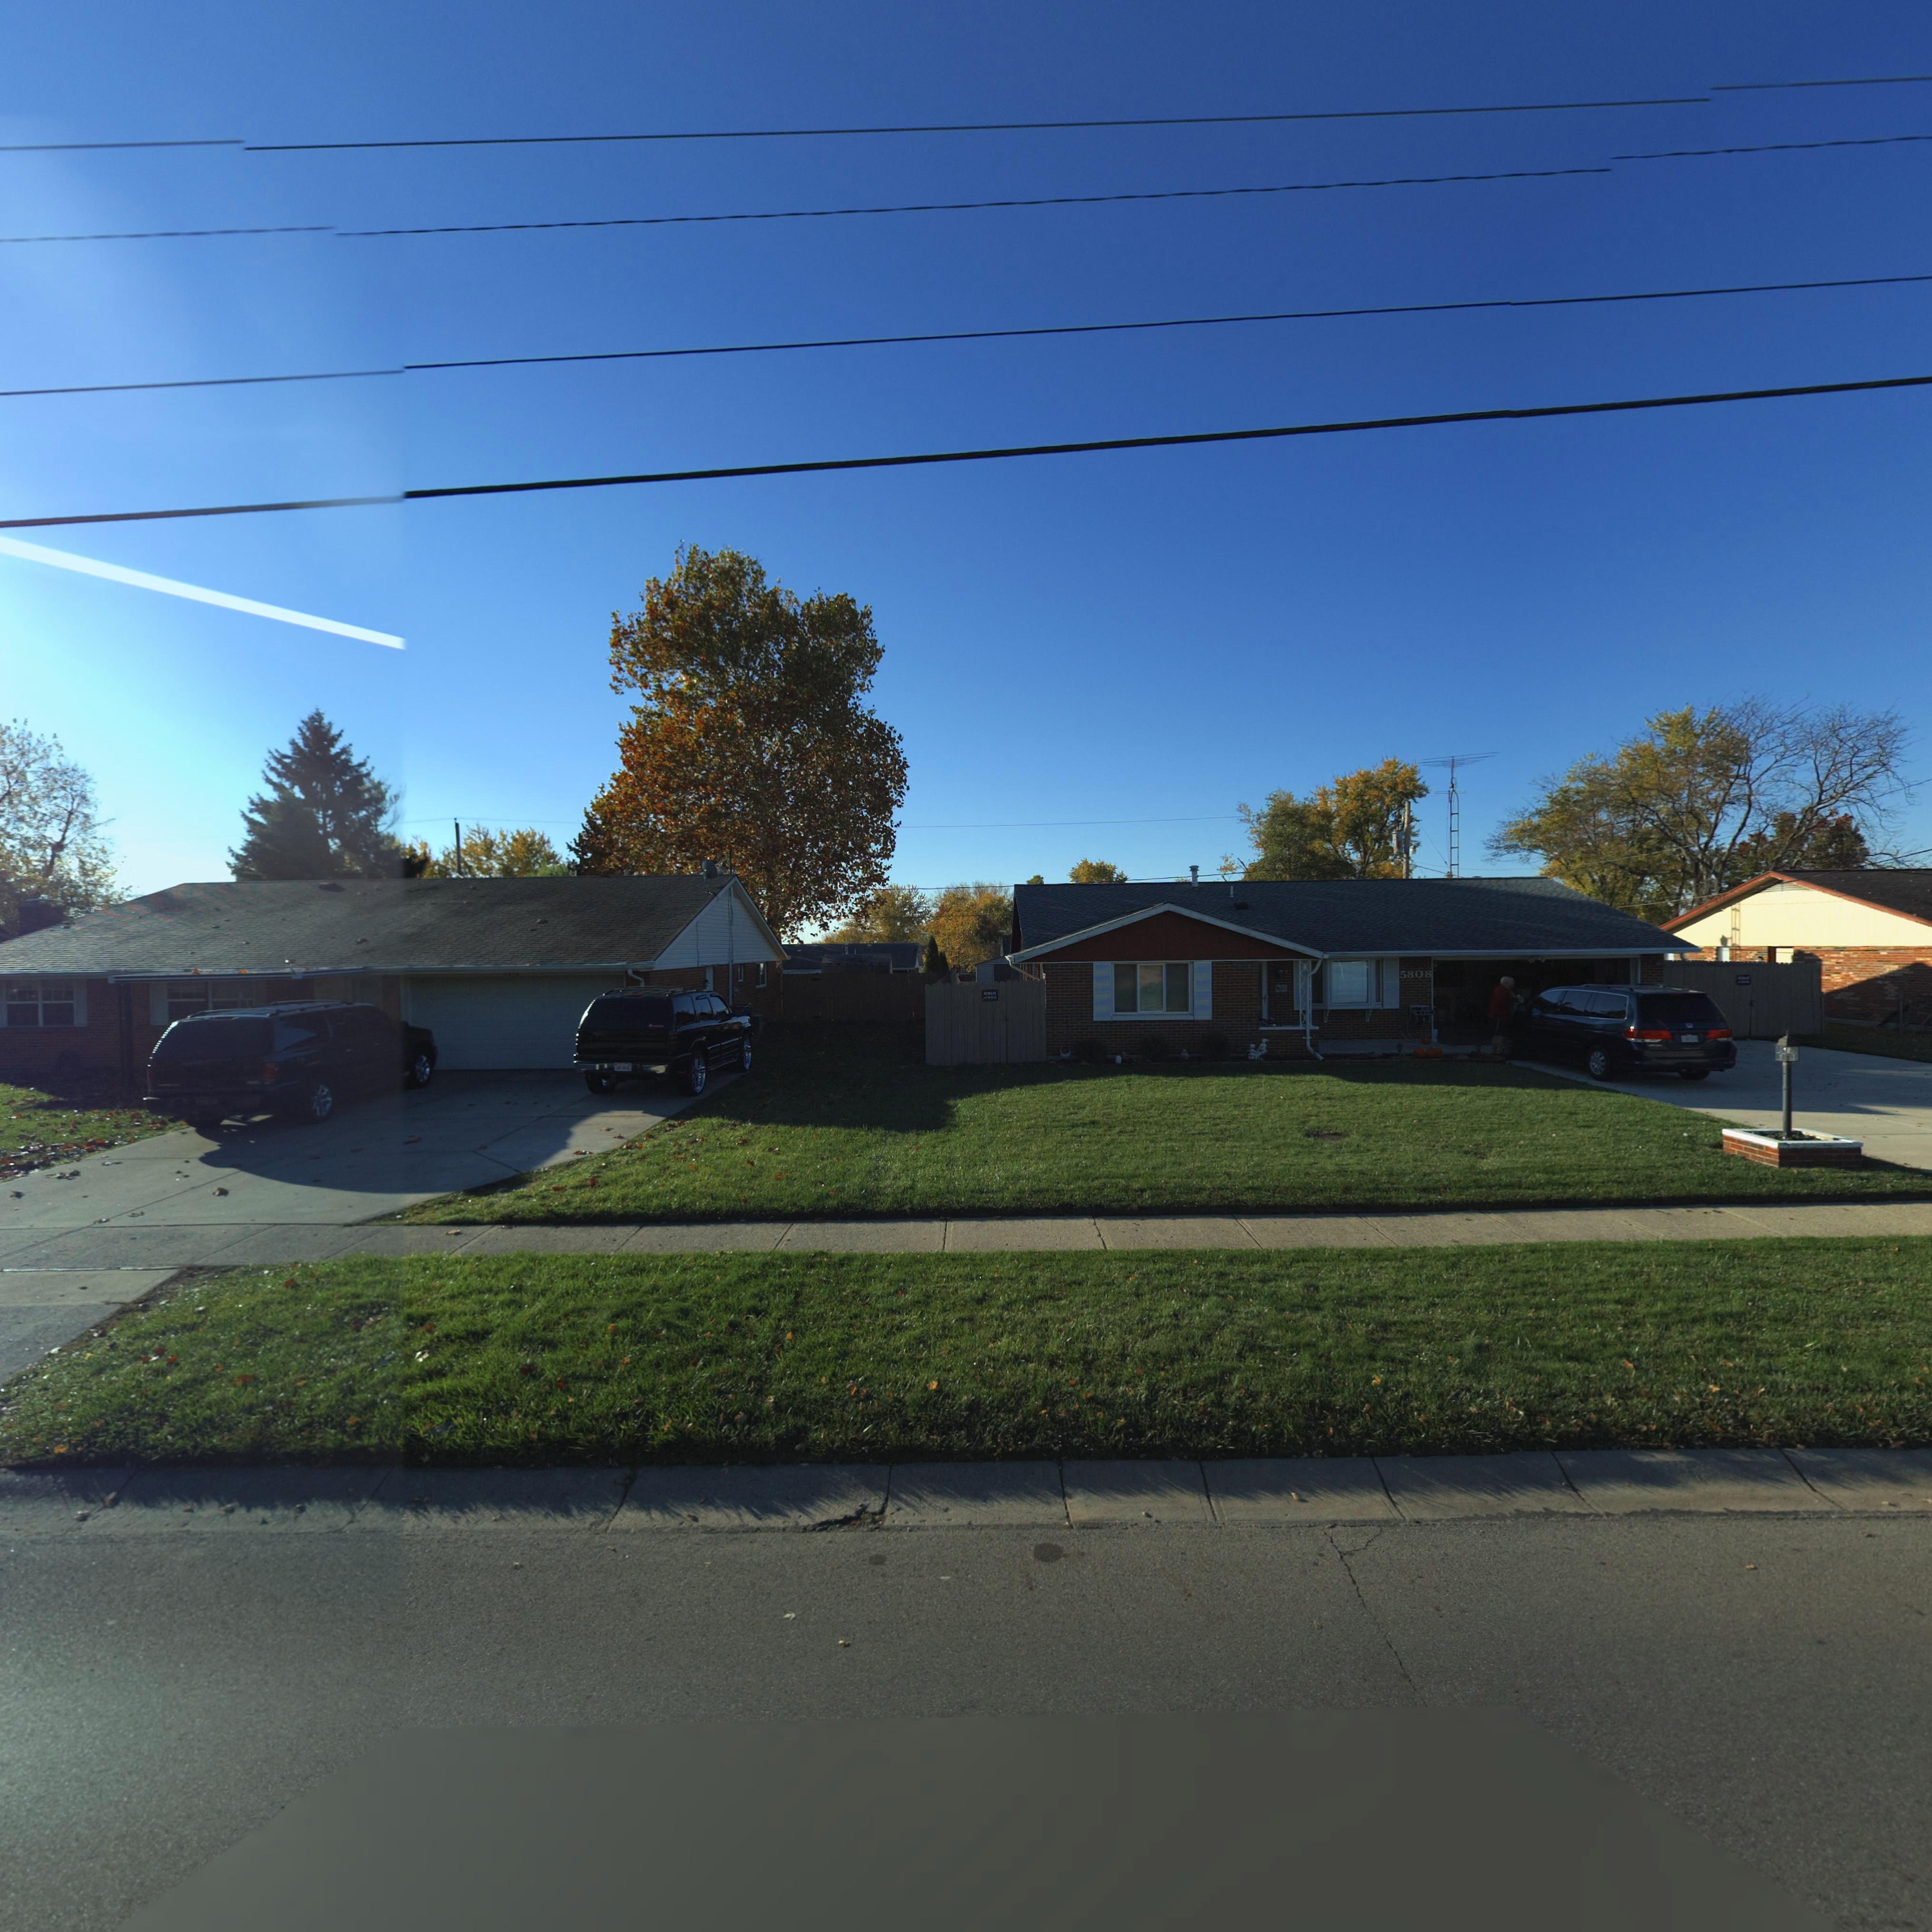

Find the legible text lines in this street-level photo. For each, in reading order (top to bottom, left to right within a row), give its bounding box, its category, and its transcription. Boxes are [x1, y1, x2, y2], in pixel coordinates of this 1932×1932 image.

[1399, 969, 1433, 980] StreetNumber: 5808